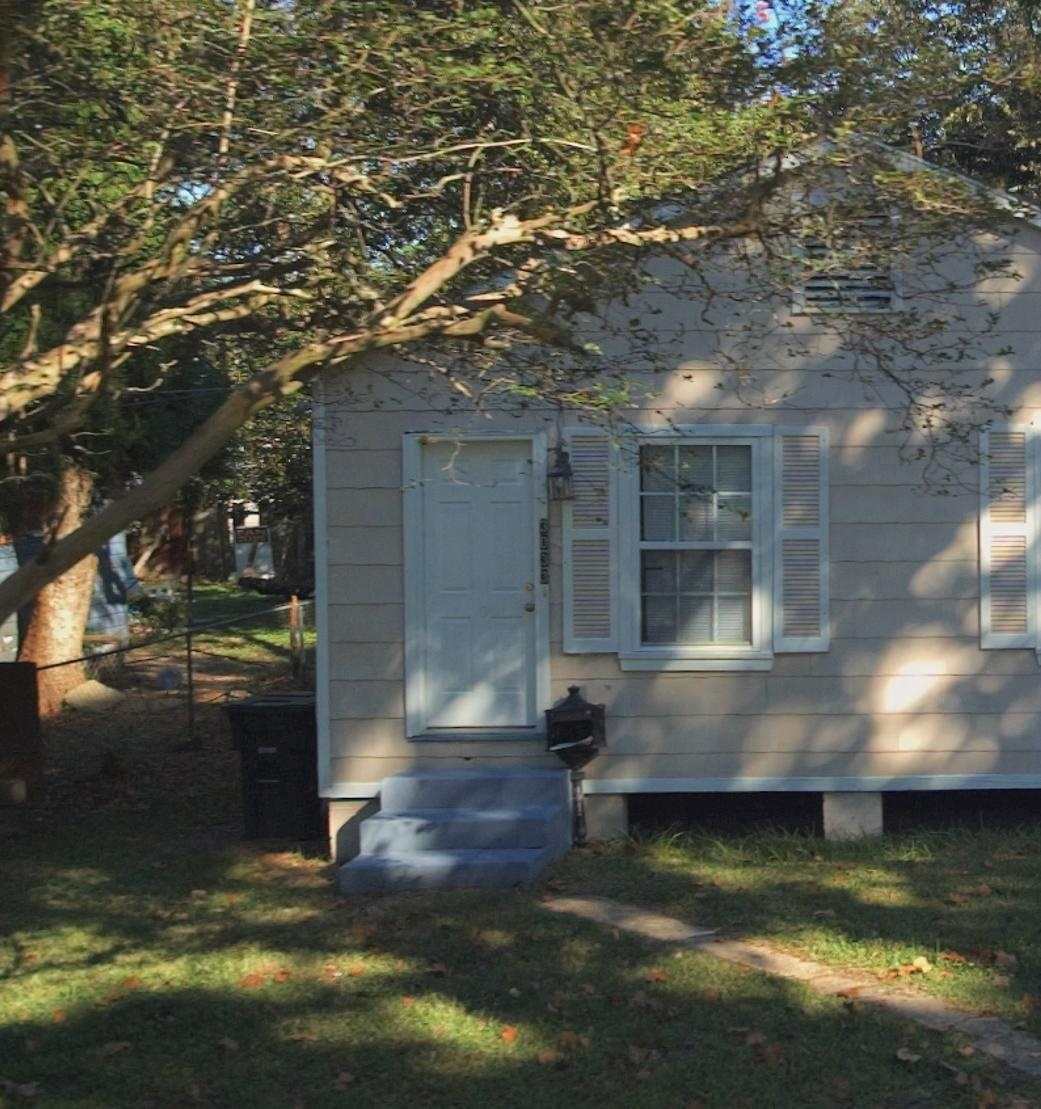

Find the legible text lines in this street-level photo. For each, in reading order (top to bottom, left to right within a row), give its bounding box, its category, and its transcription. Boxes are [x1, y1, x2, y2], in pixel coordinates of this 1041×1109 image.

[537, 516, 552, 586] StreetNumber: 3033